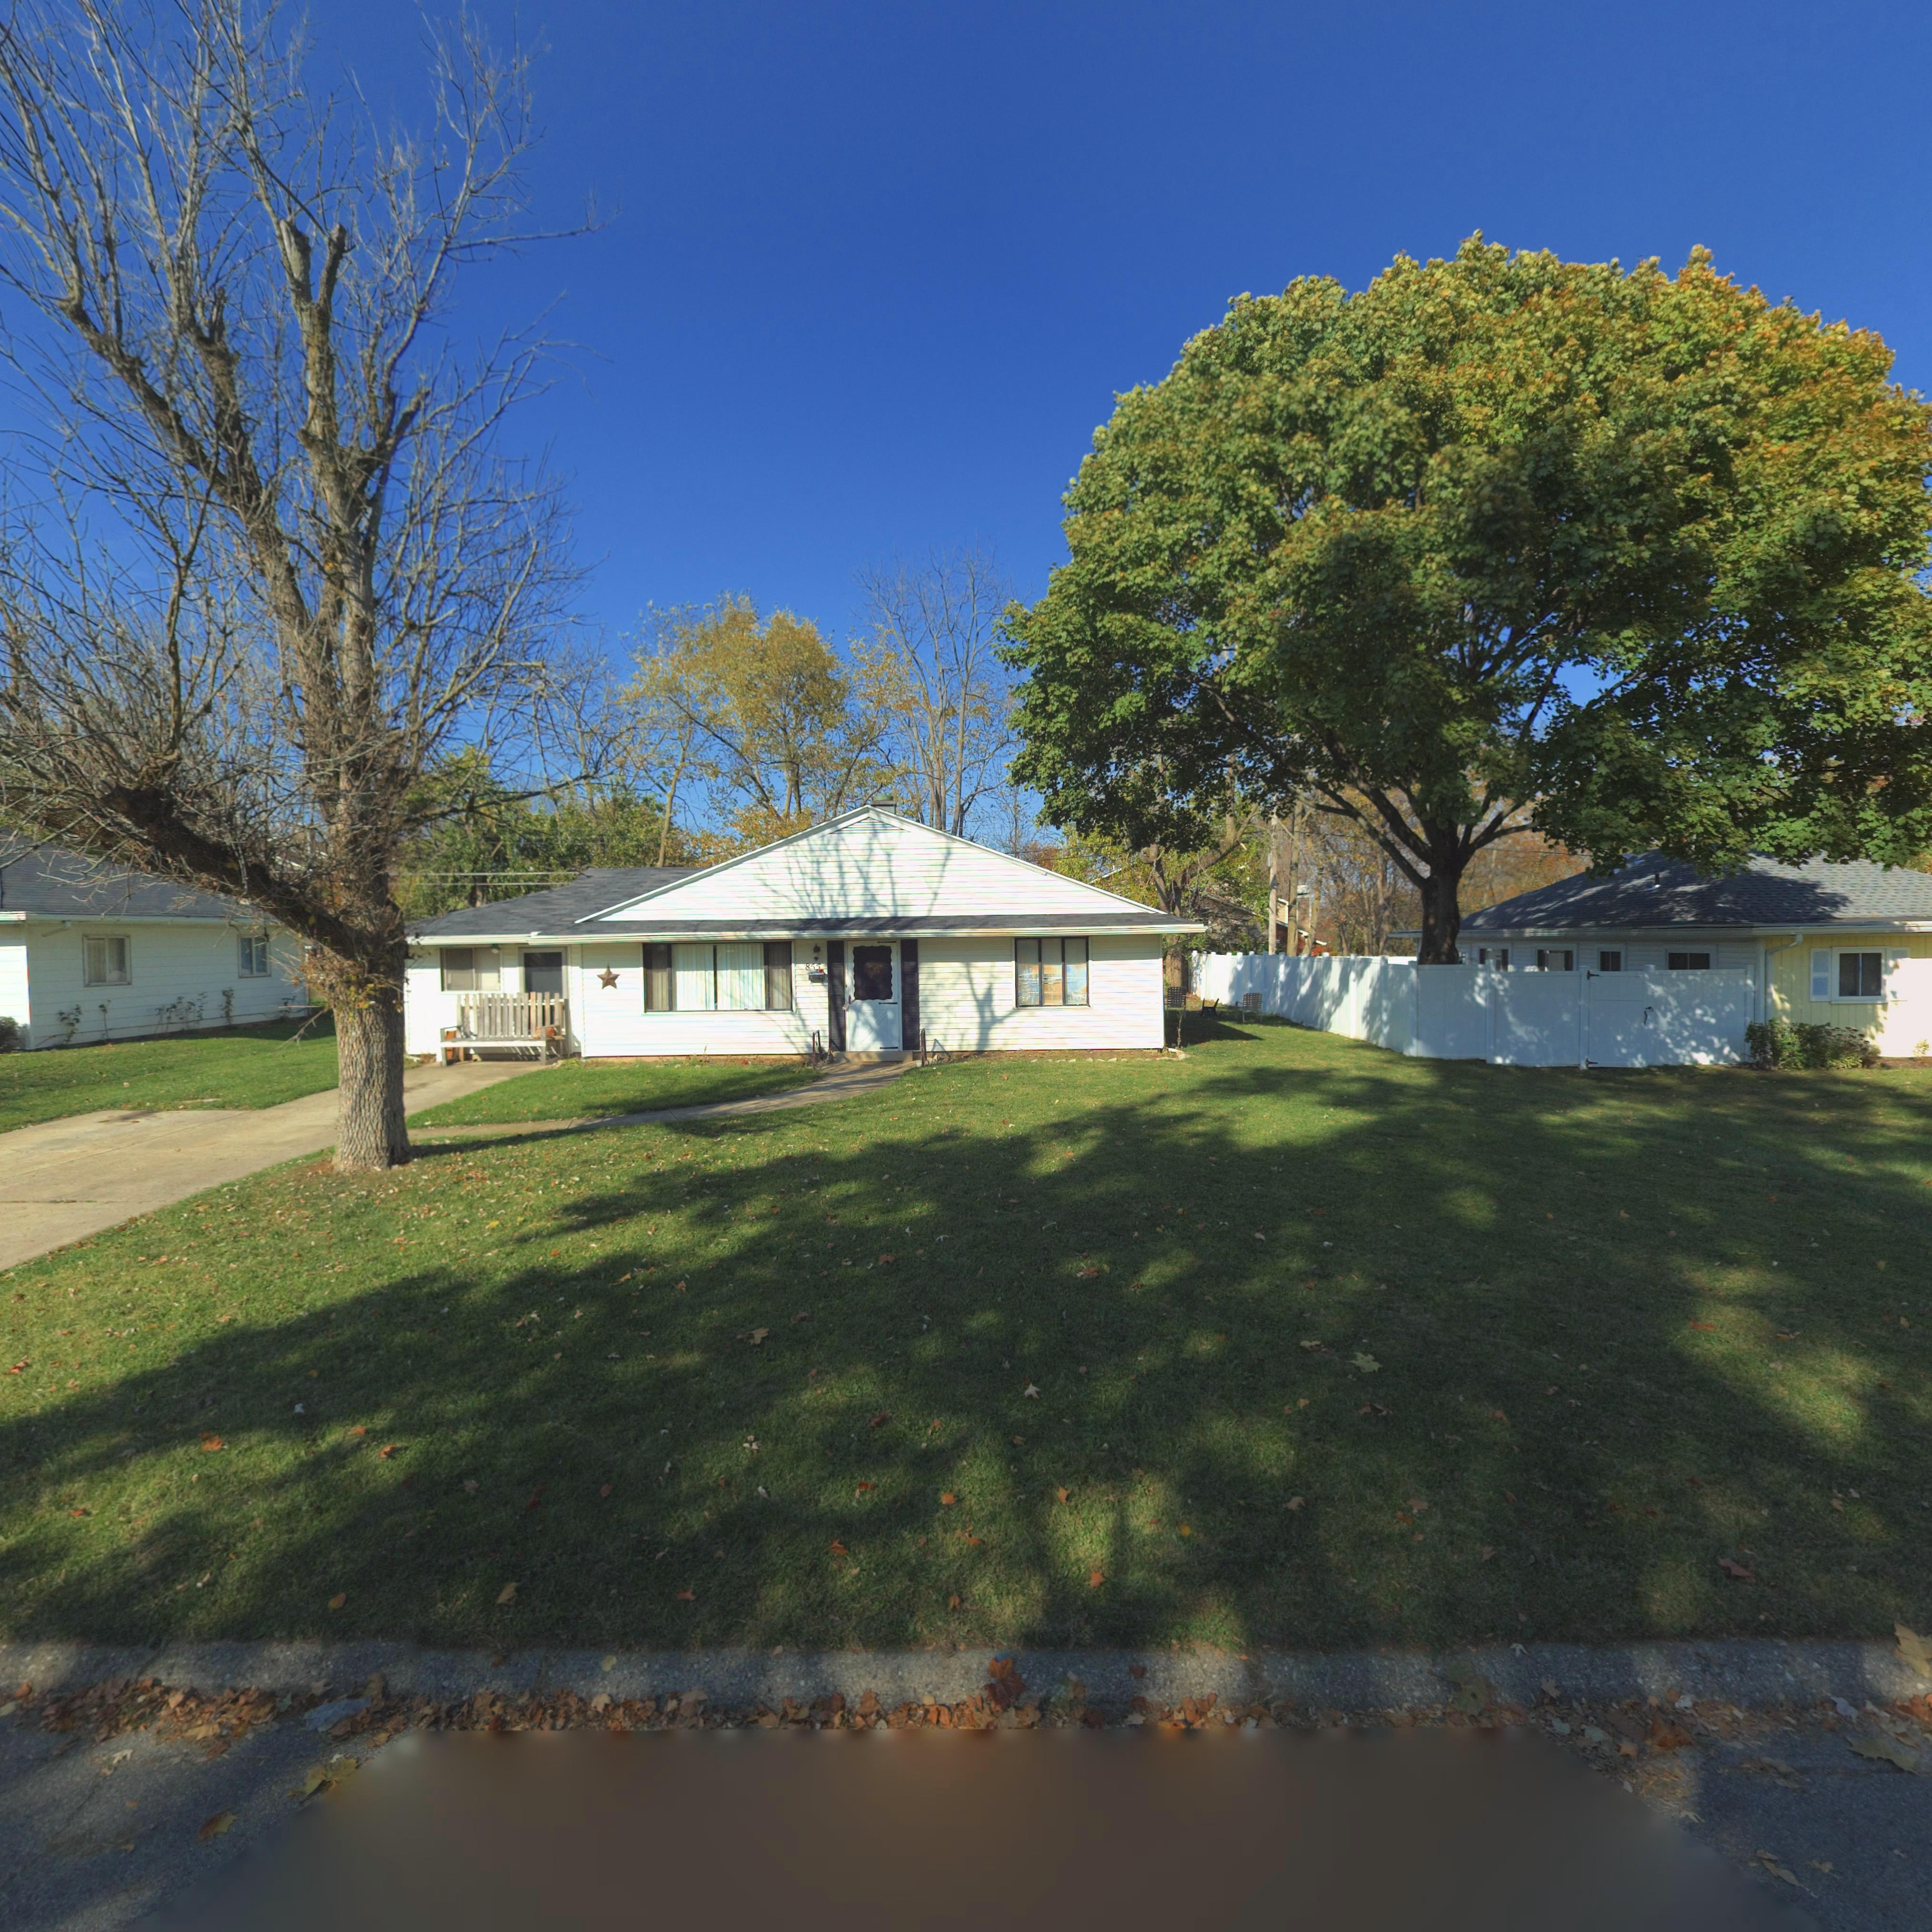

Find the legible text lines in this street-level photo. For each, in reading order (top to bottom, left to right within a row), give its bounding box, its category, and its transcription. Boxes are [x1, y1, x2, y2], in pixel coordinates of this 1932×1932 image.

[805, 962, 822, 971] StreetNumber: 855